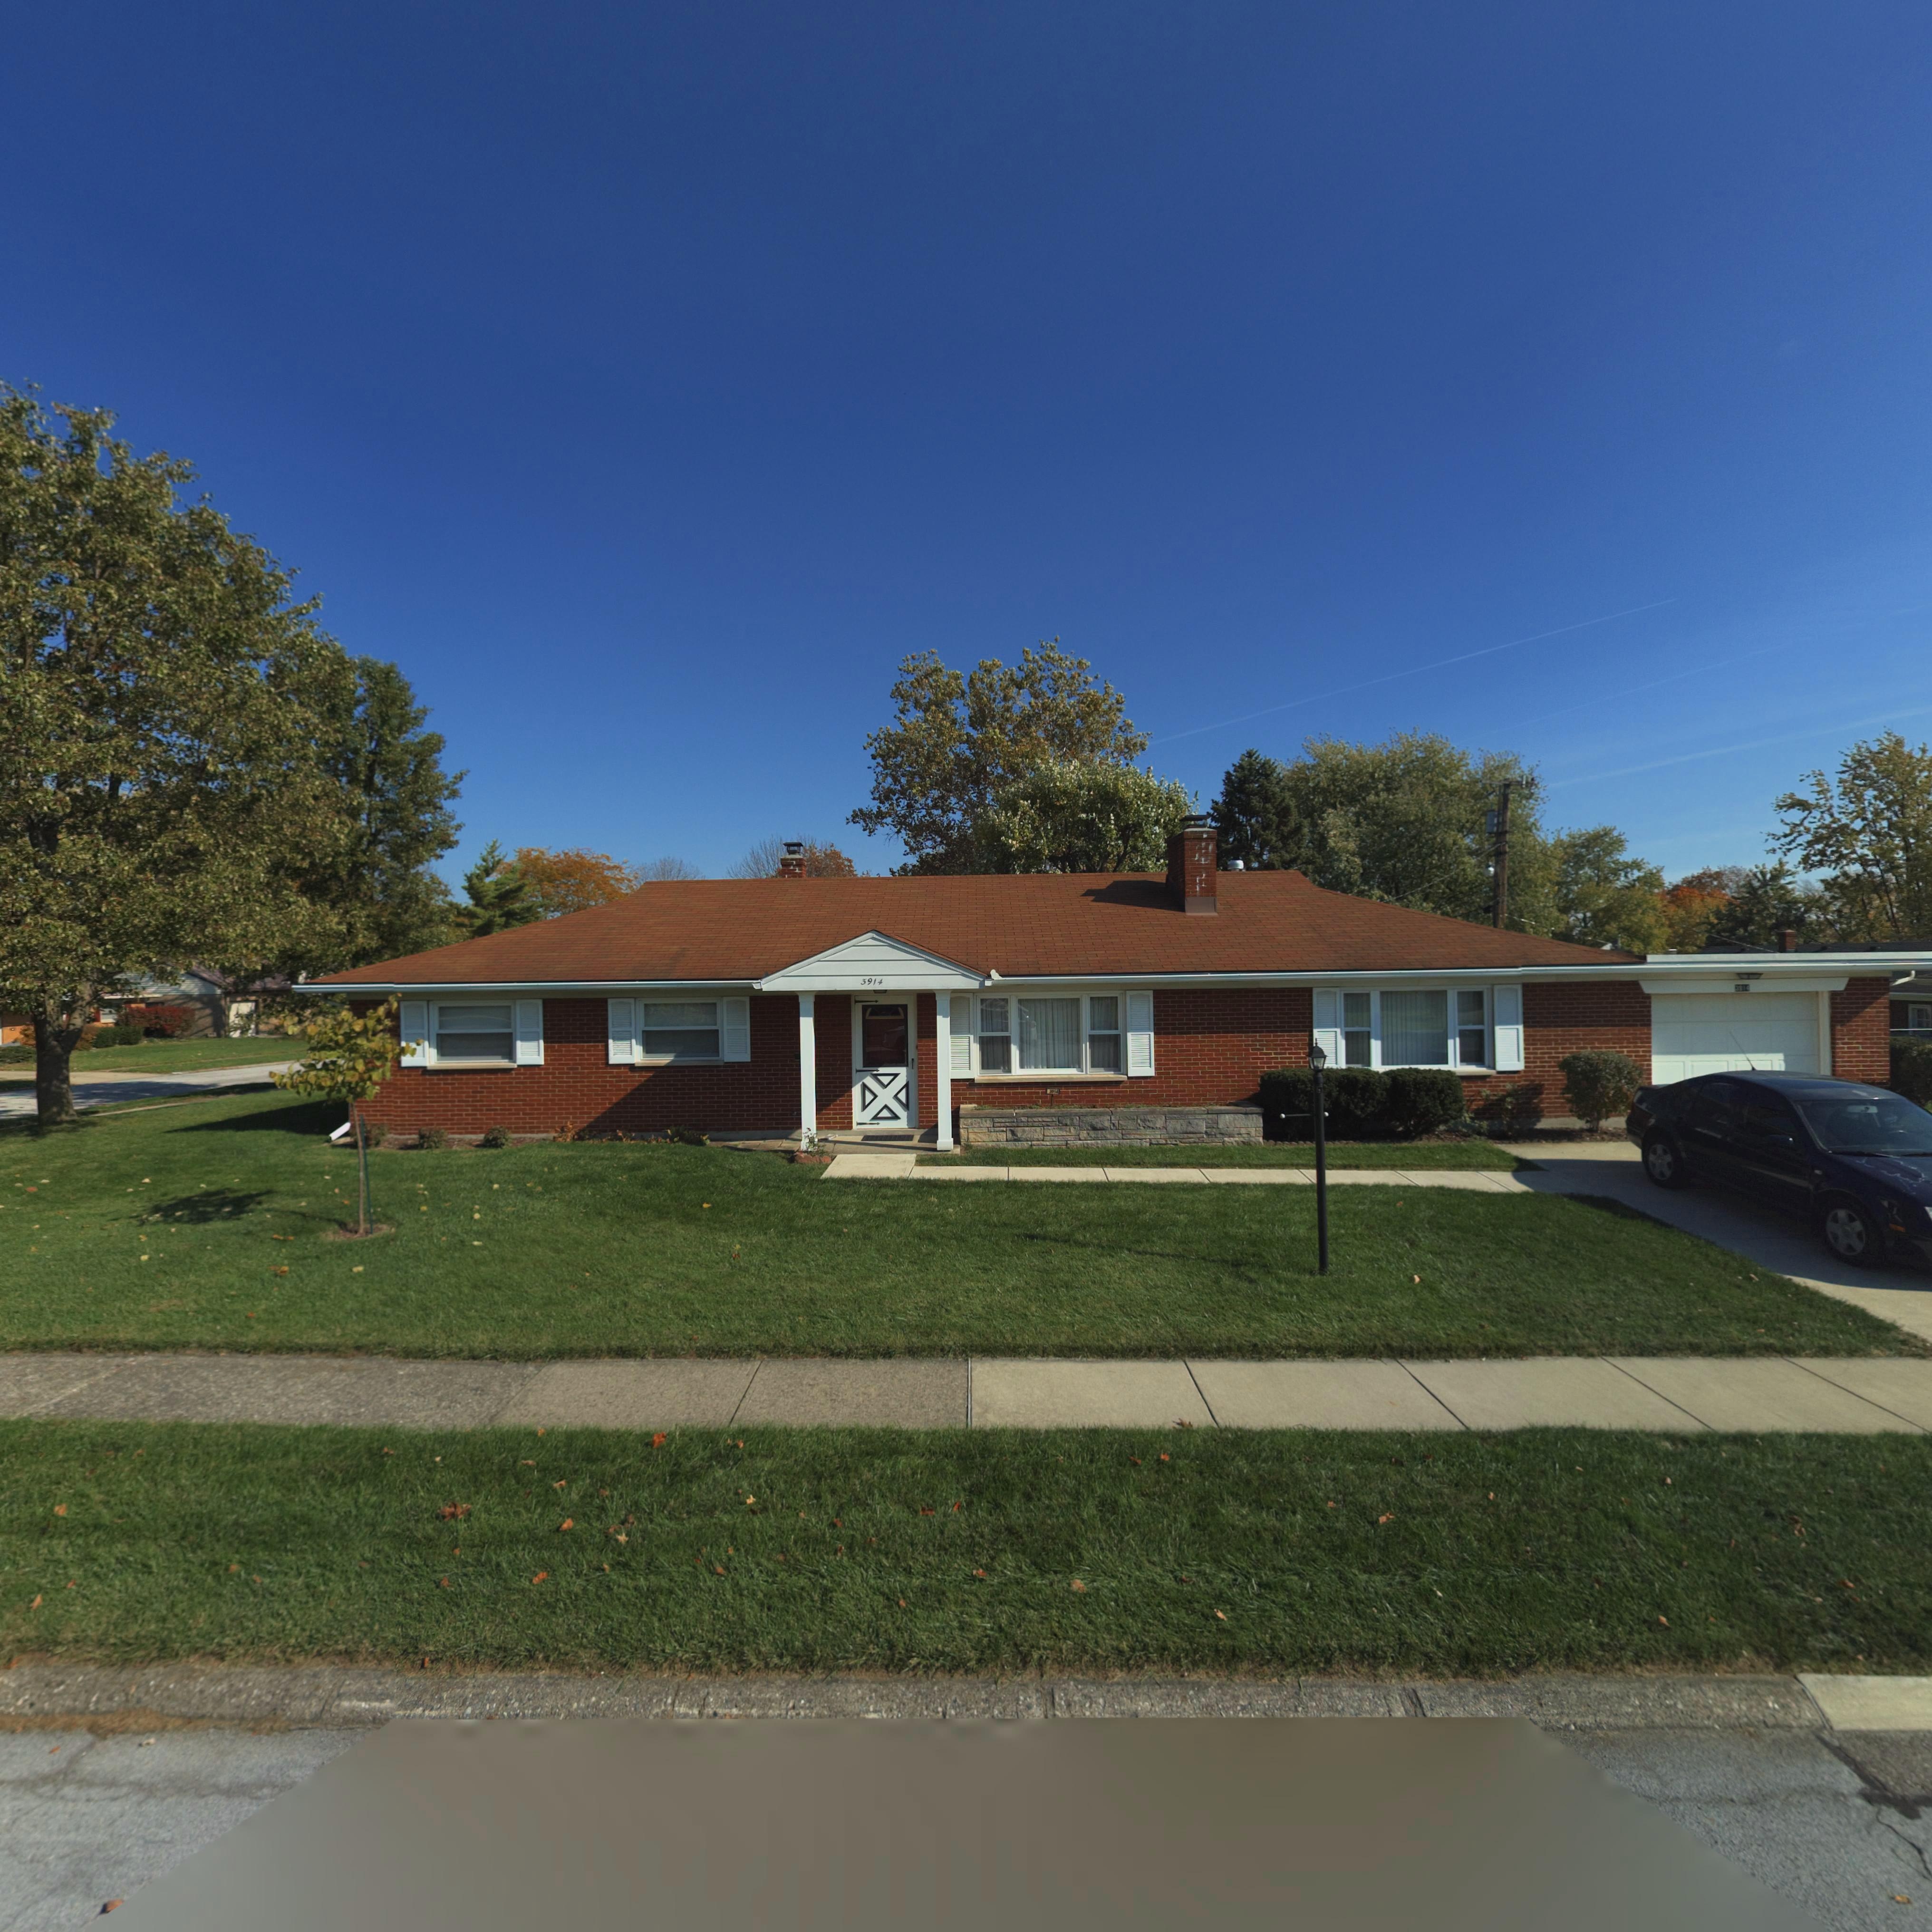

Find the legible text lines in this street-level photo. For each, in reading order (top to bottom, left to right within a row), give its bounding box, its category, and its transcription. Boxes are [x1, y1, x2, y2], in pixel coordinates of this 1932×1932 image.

[860, 977, 885, 985] StreetNumber: 3914
[1735, 985, 1749, 991] StreetNumber: 3914